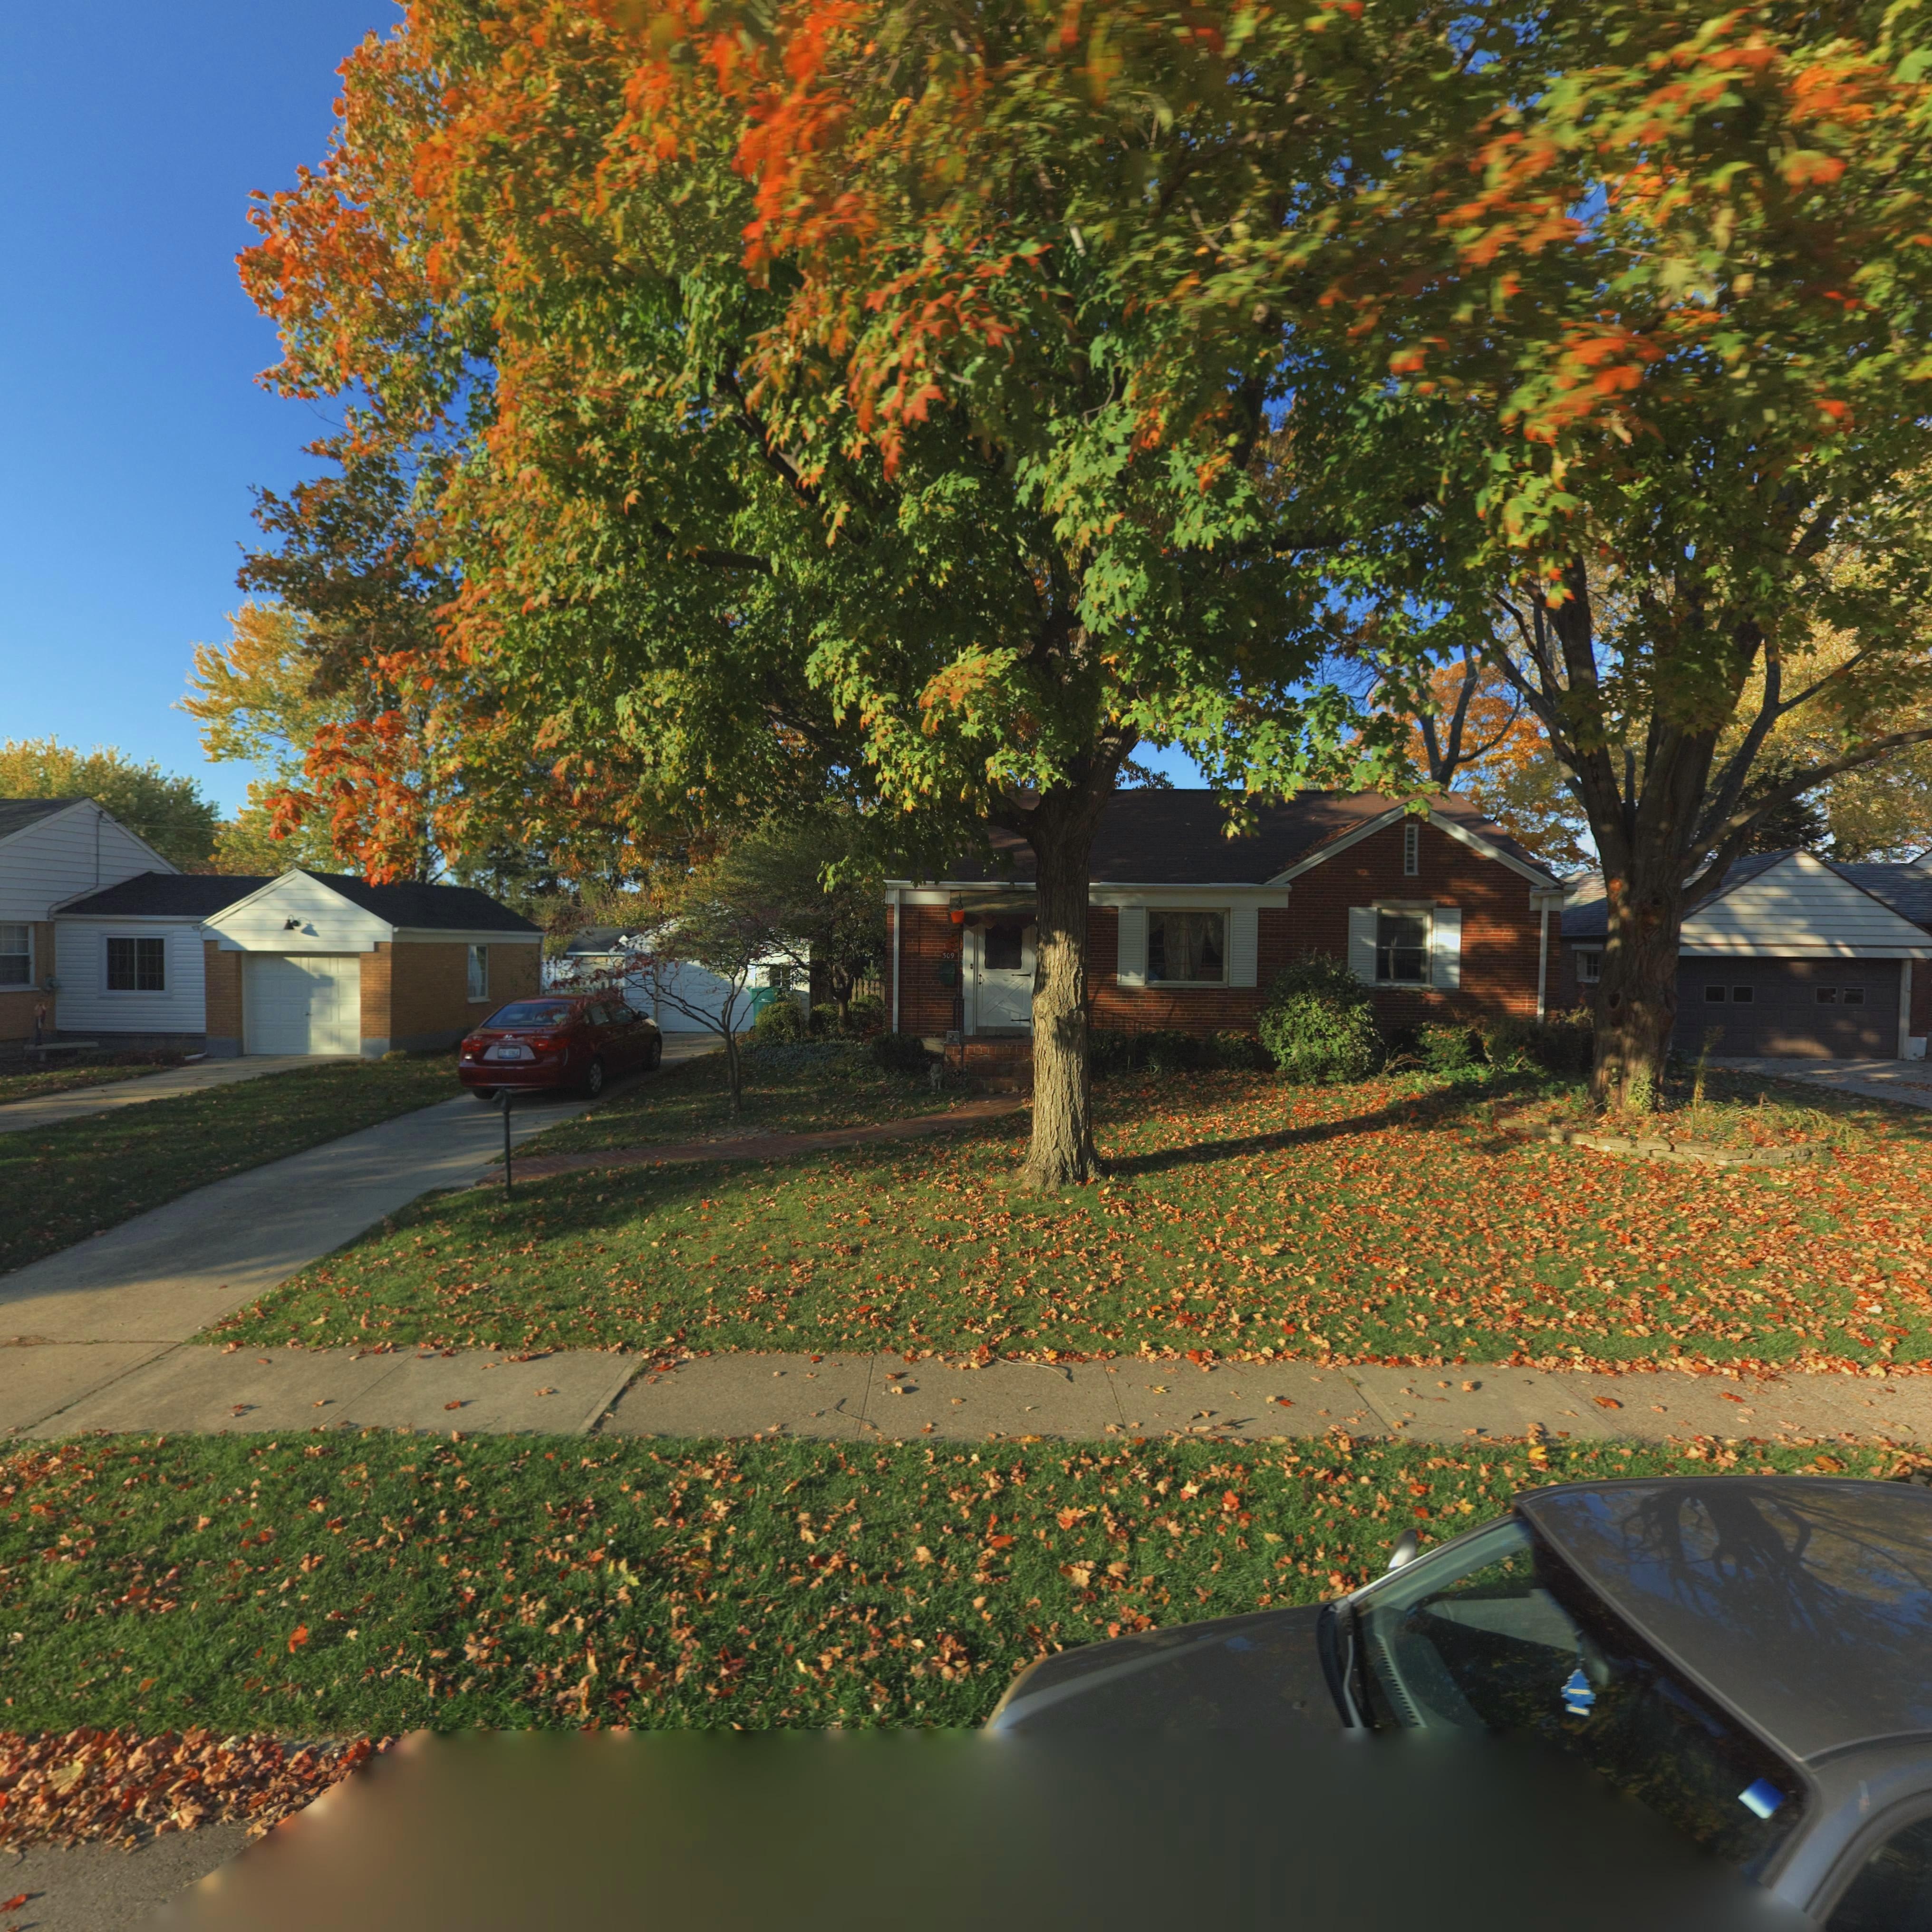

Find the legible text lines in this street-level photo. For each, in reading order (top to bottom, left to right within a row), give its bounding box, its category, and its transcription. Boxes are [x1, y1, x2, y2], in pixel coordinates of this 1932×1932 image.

[942, 952, 955, 959] StreetNumber: 309